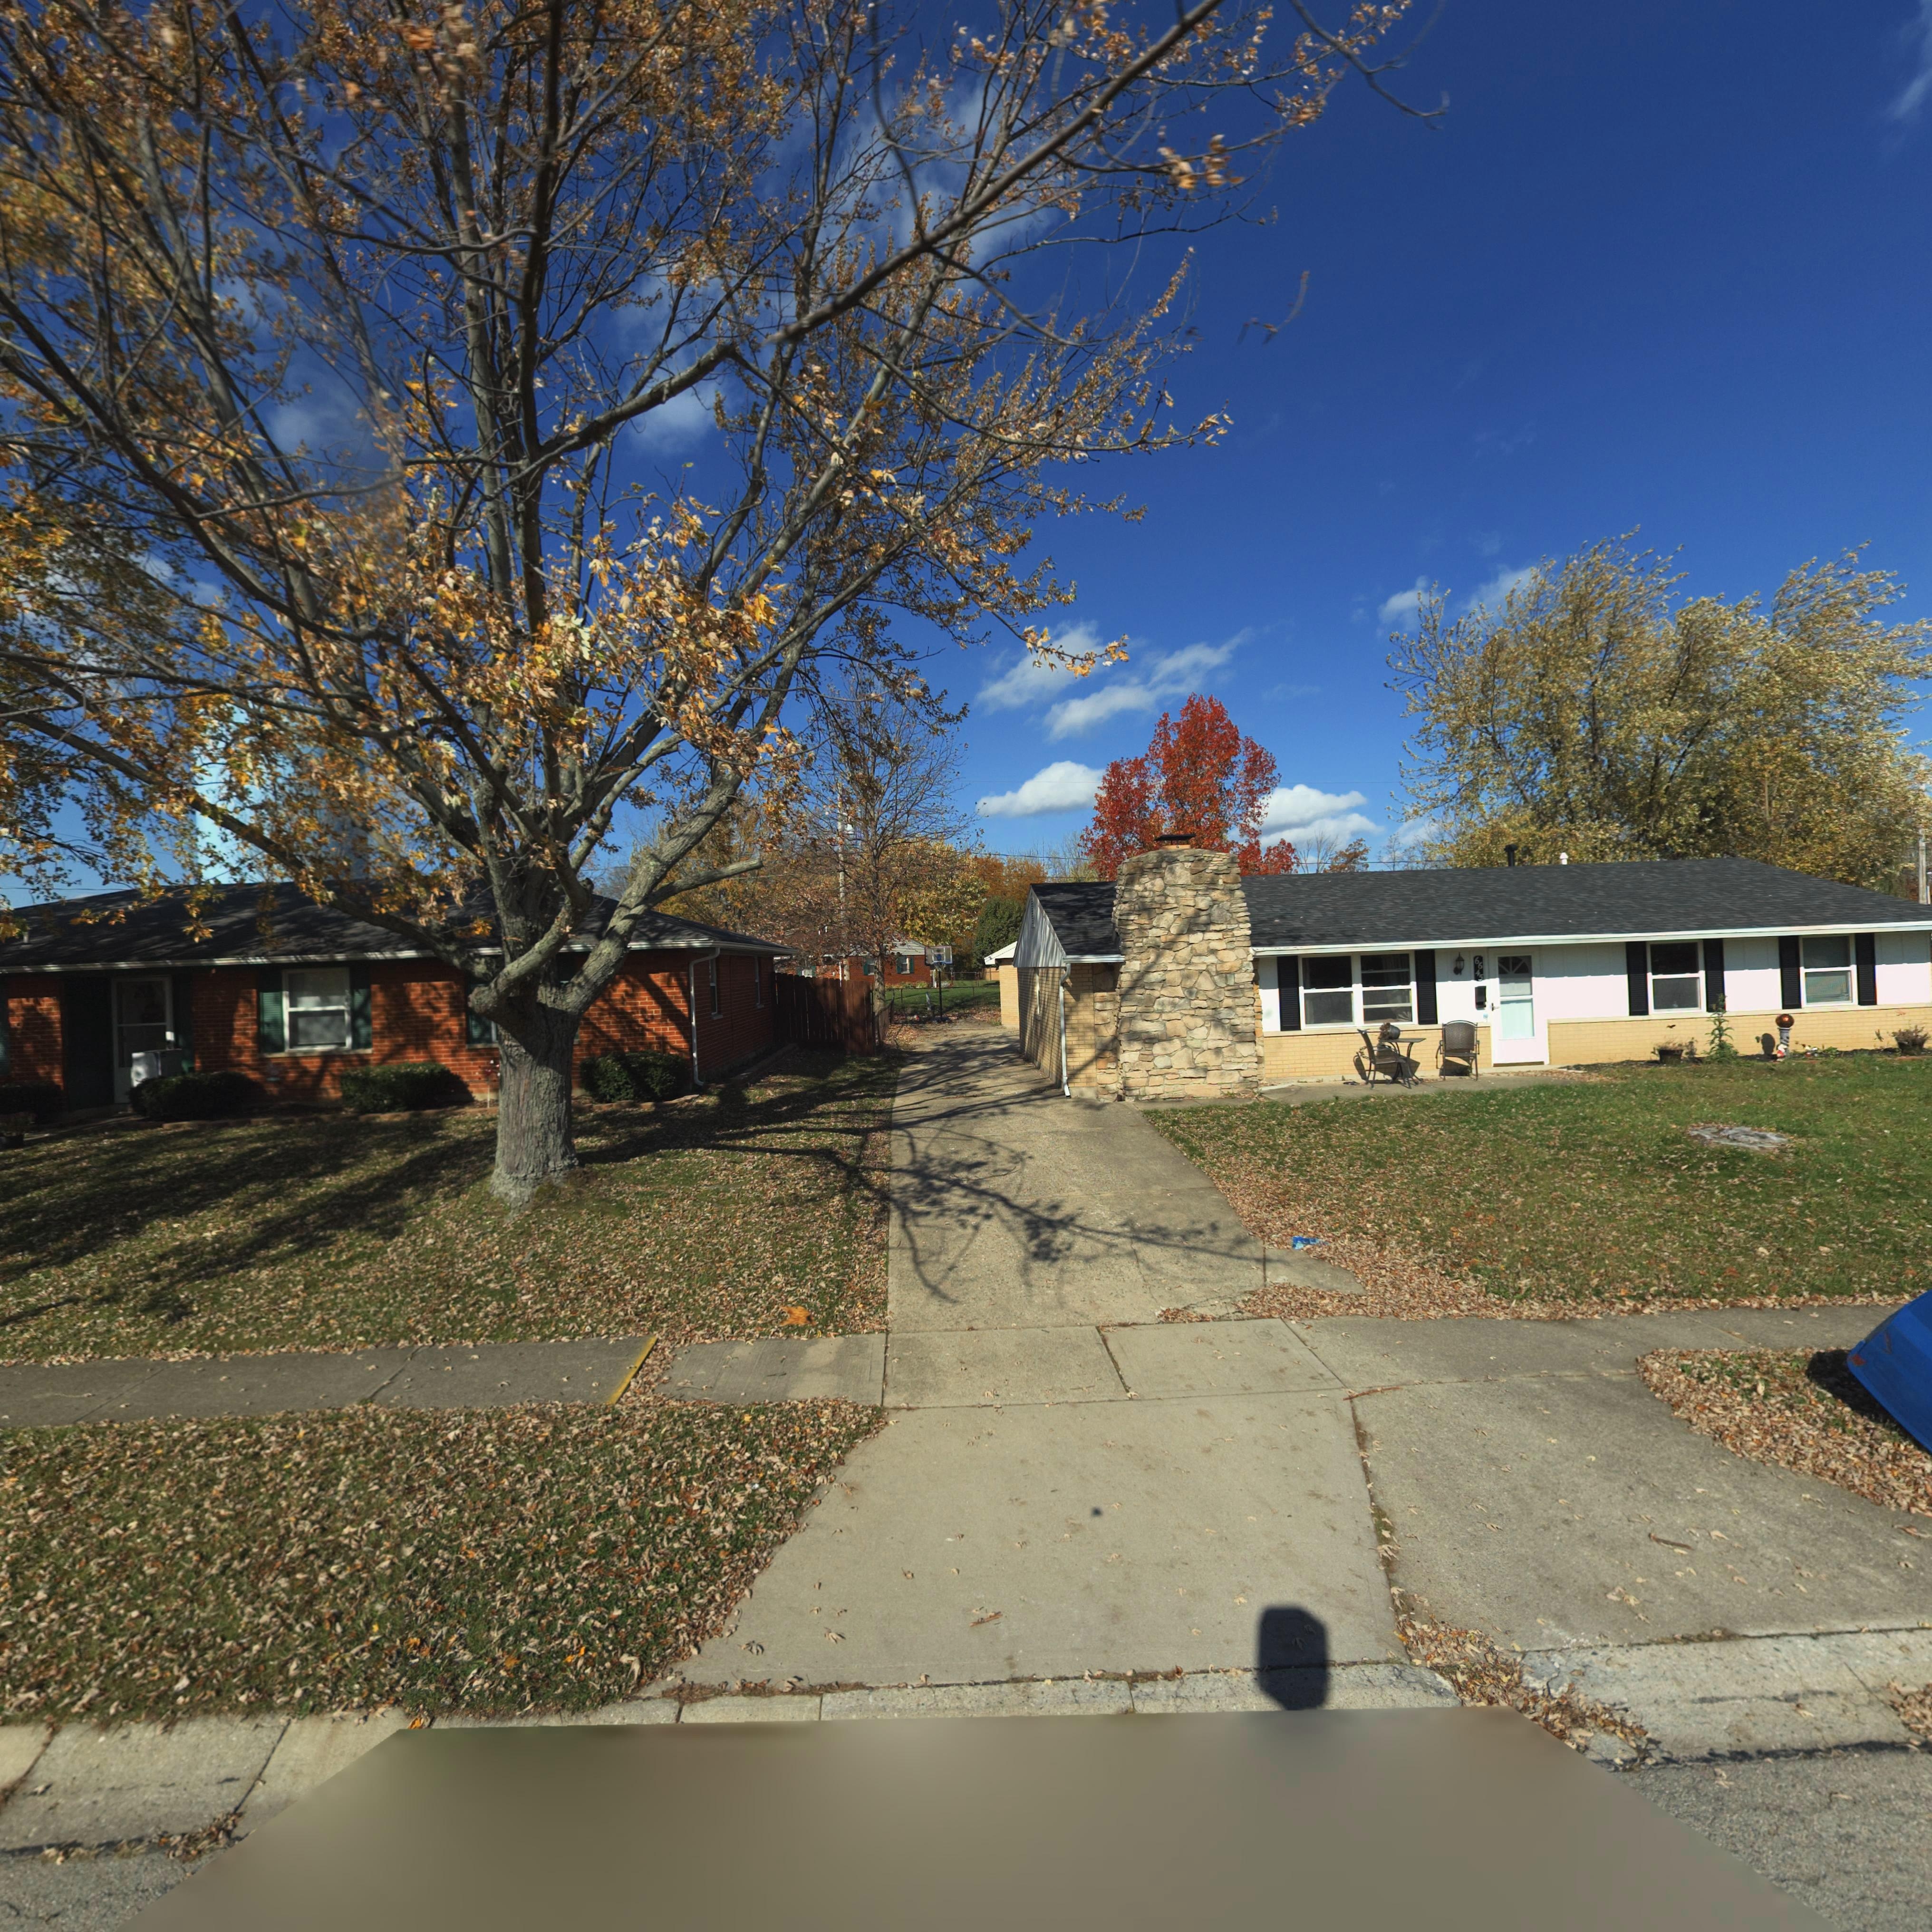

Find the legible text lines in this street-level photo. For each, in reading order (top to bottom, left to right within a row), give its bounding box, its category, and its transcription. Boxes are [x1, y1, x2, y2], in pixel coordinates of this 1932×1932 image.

[1474, 956, 1483, 970] StreetNumber: 66
[1474, 969, 1484, 982] StreetNumber: 45